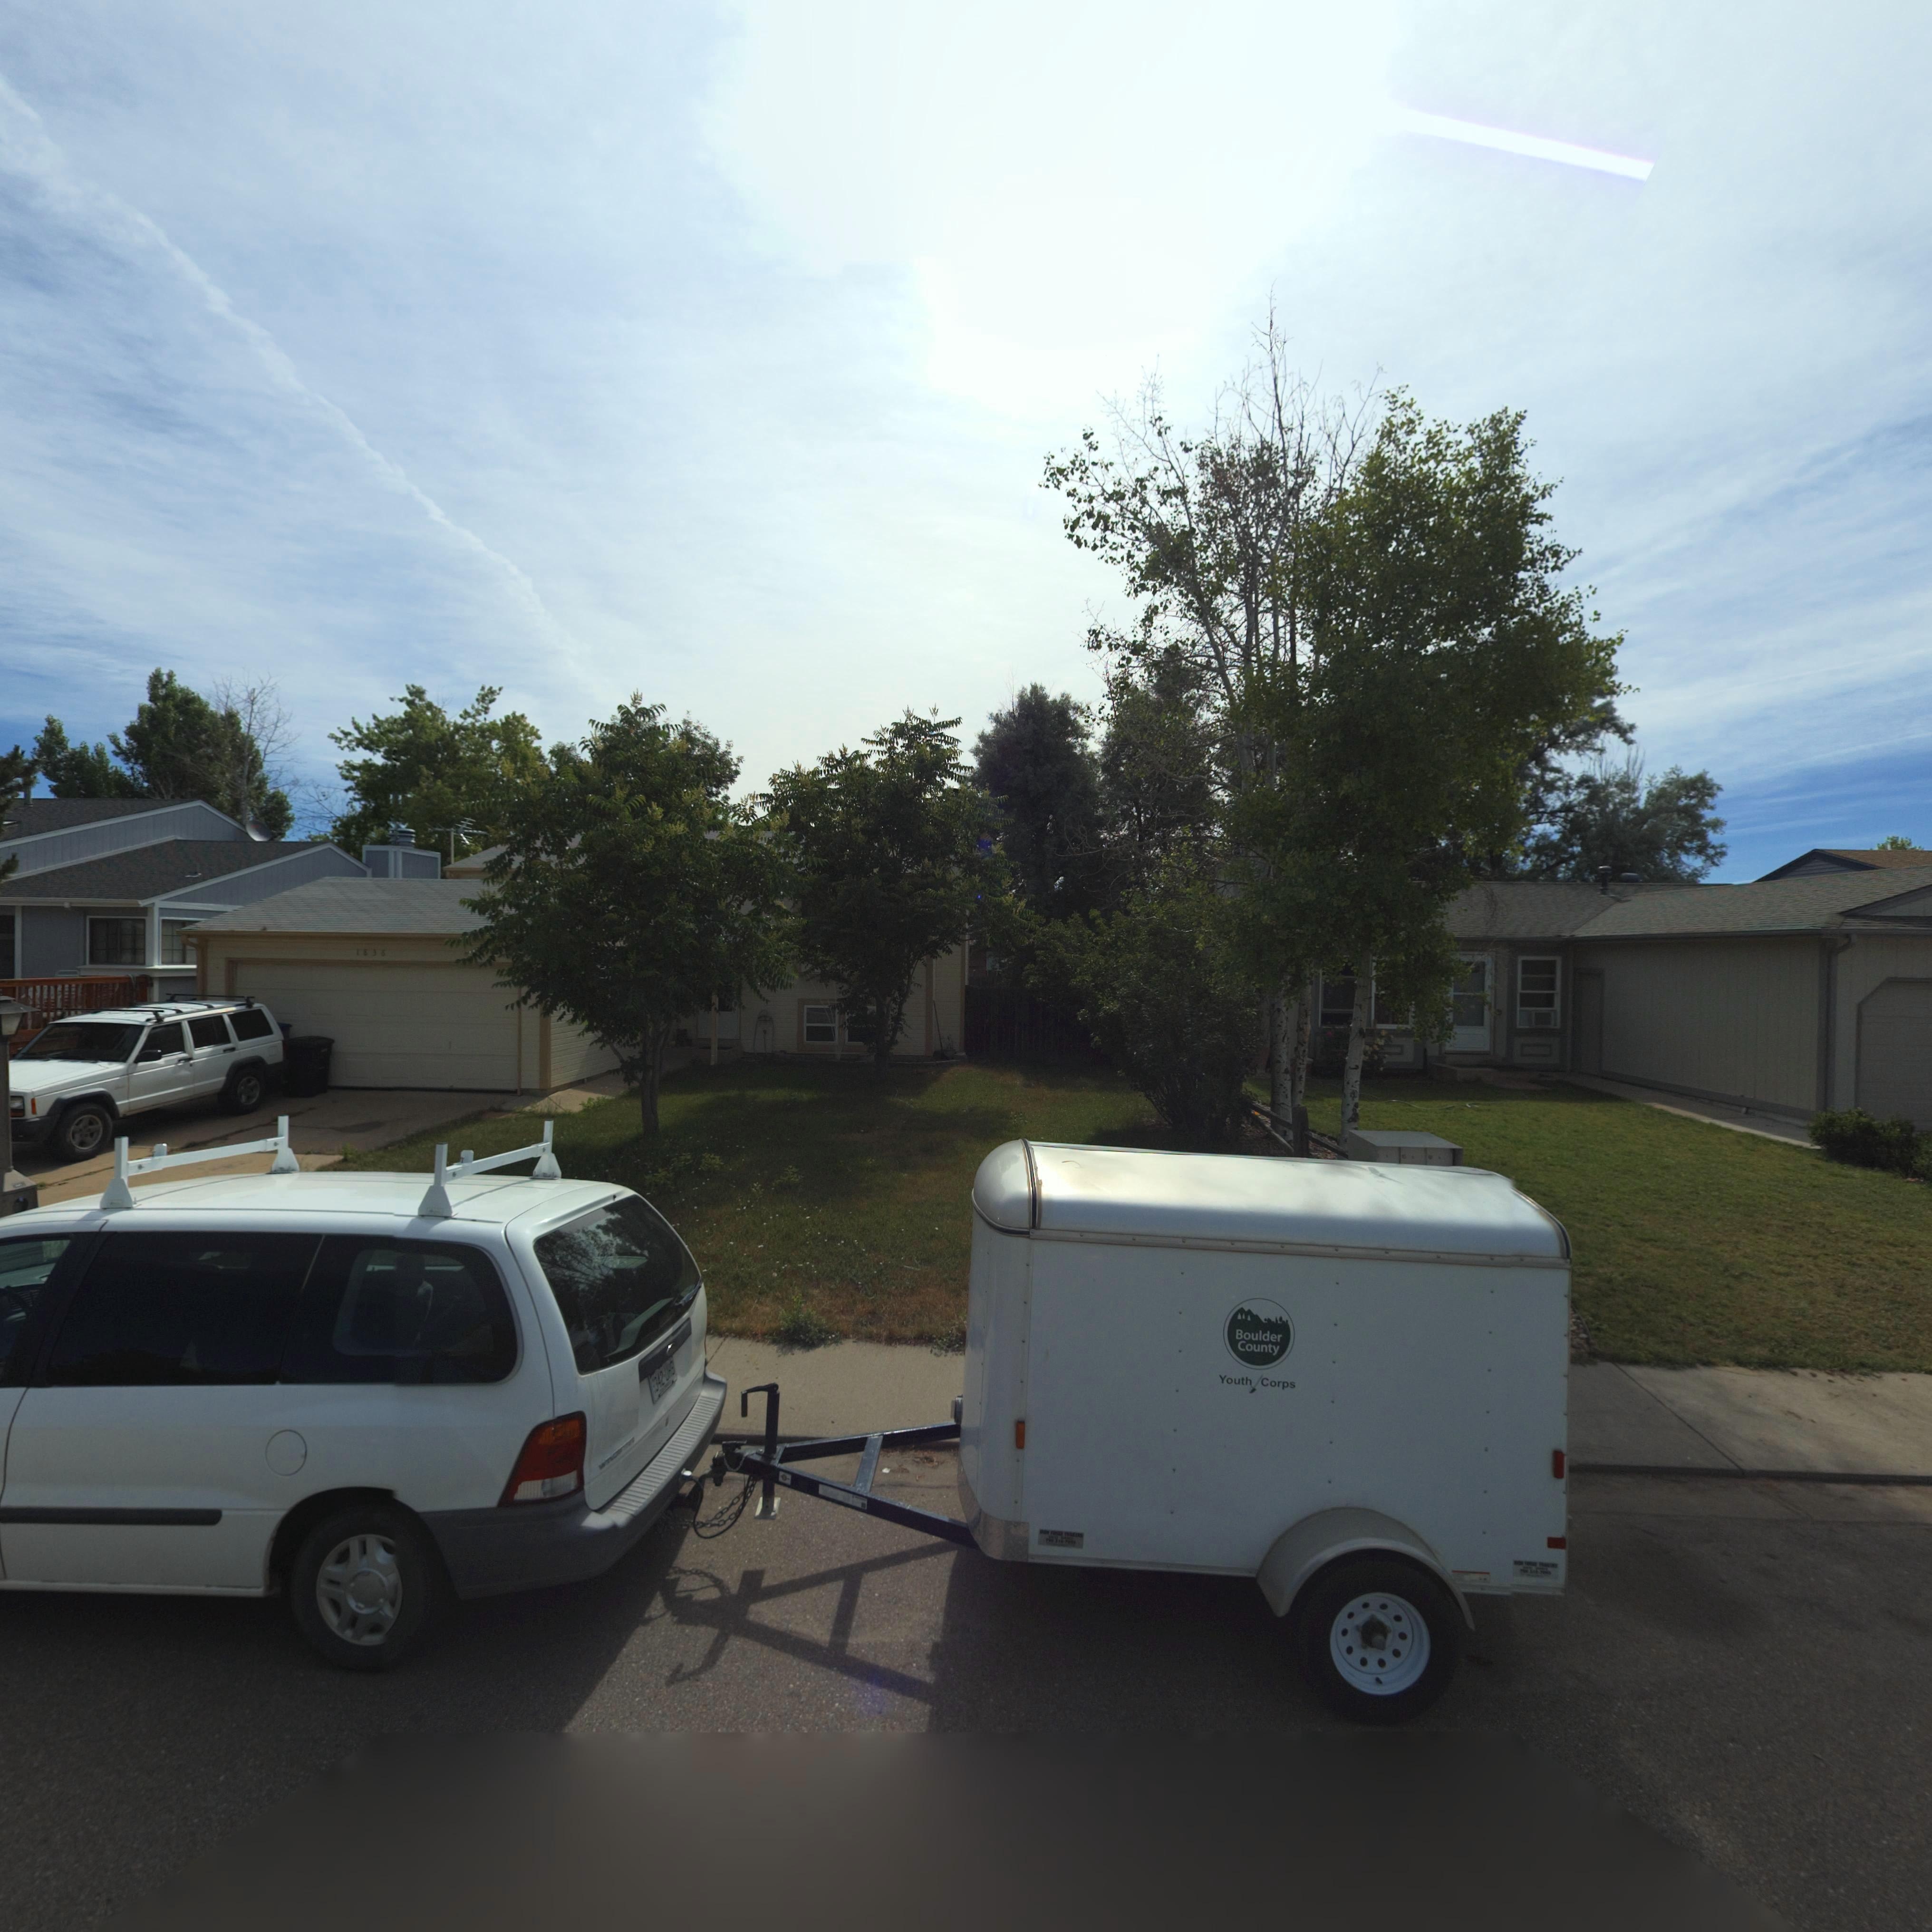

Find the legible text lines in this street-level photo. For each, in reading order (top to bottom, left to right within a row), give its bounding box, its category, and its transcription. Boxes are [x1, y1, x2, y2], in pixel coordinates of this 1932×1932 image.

[356, 948, 386, 957] StreetNumber: 1836